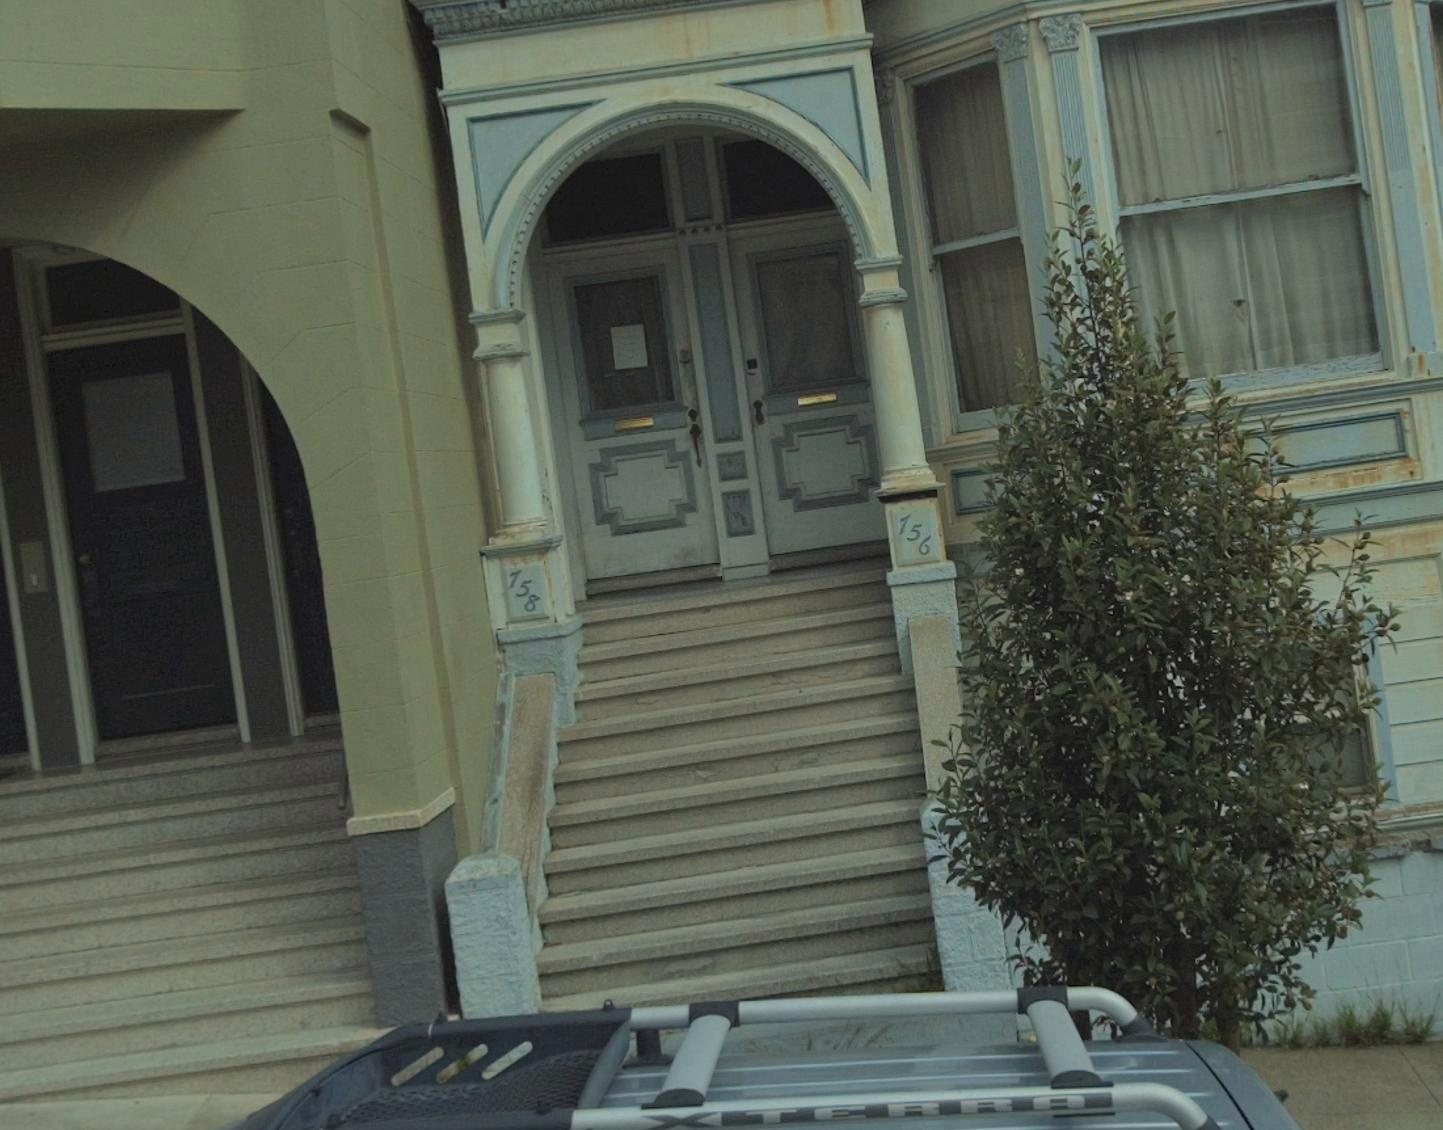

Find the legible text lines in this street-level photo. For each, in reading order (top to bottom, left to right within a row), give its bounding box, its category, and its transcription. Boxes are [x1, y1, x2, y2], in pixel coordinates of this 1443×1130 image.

[889, 511, 938, 562] StreetNumber: 756
[501, 566, 545, 619] StreetNumber: 758
[643, 1094, 1089, 1129] None: XTERRA